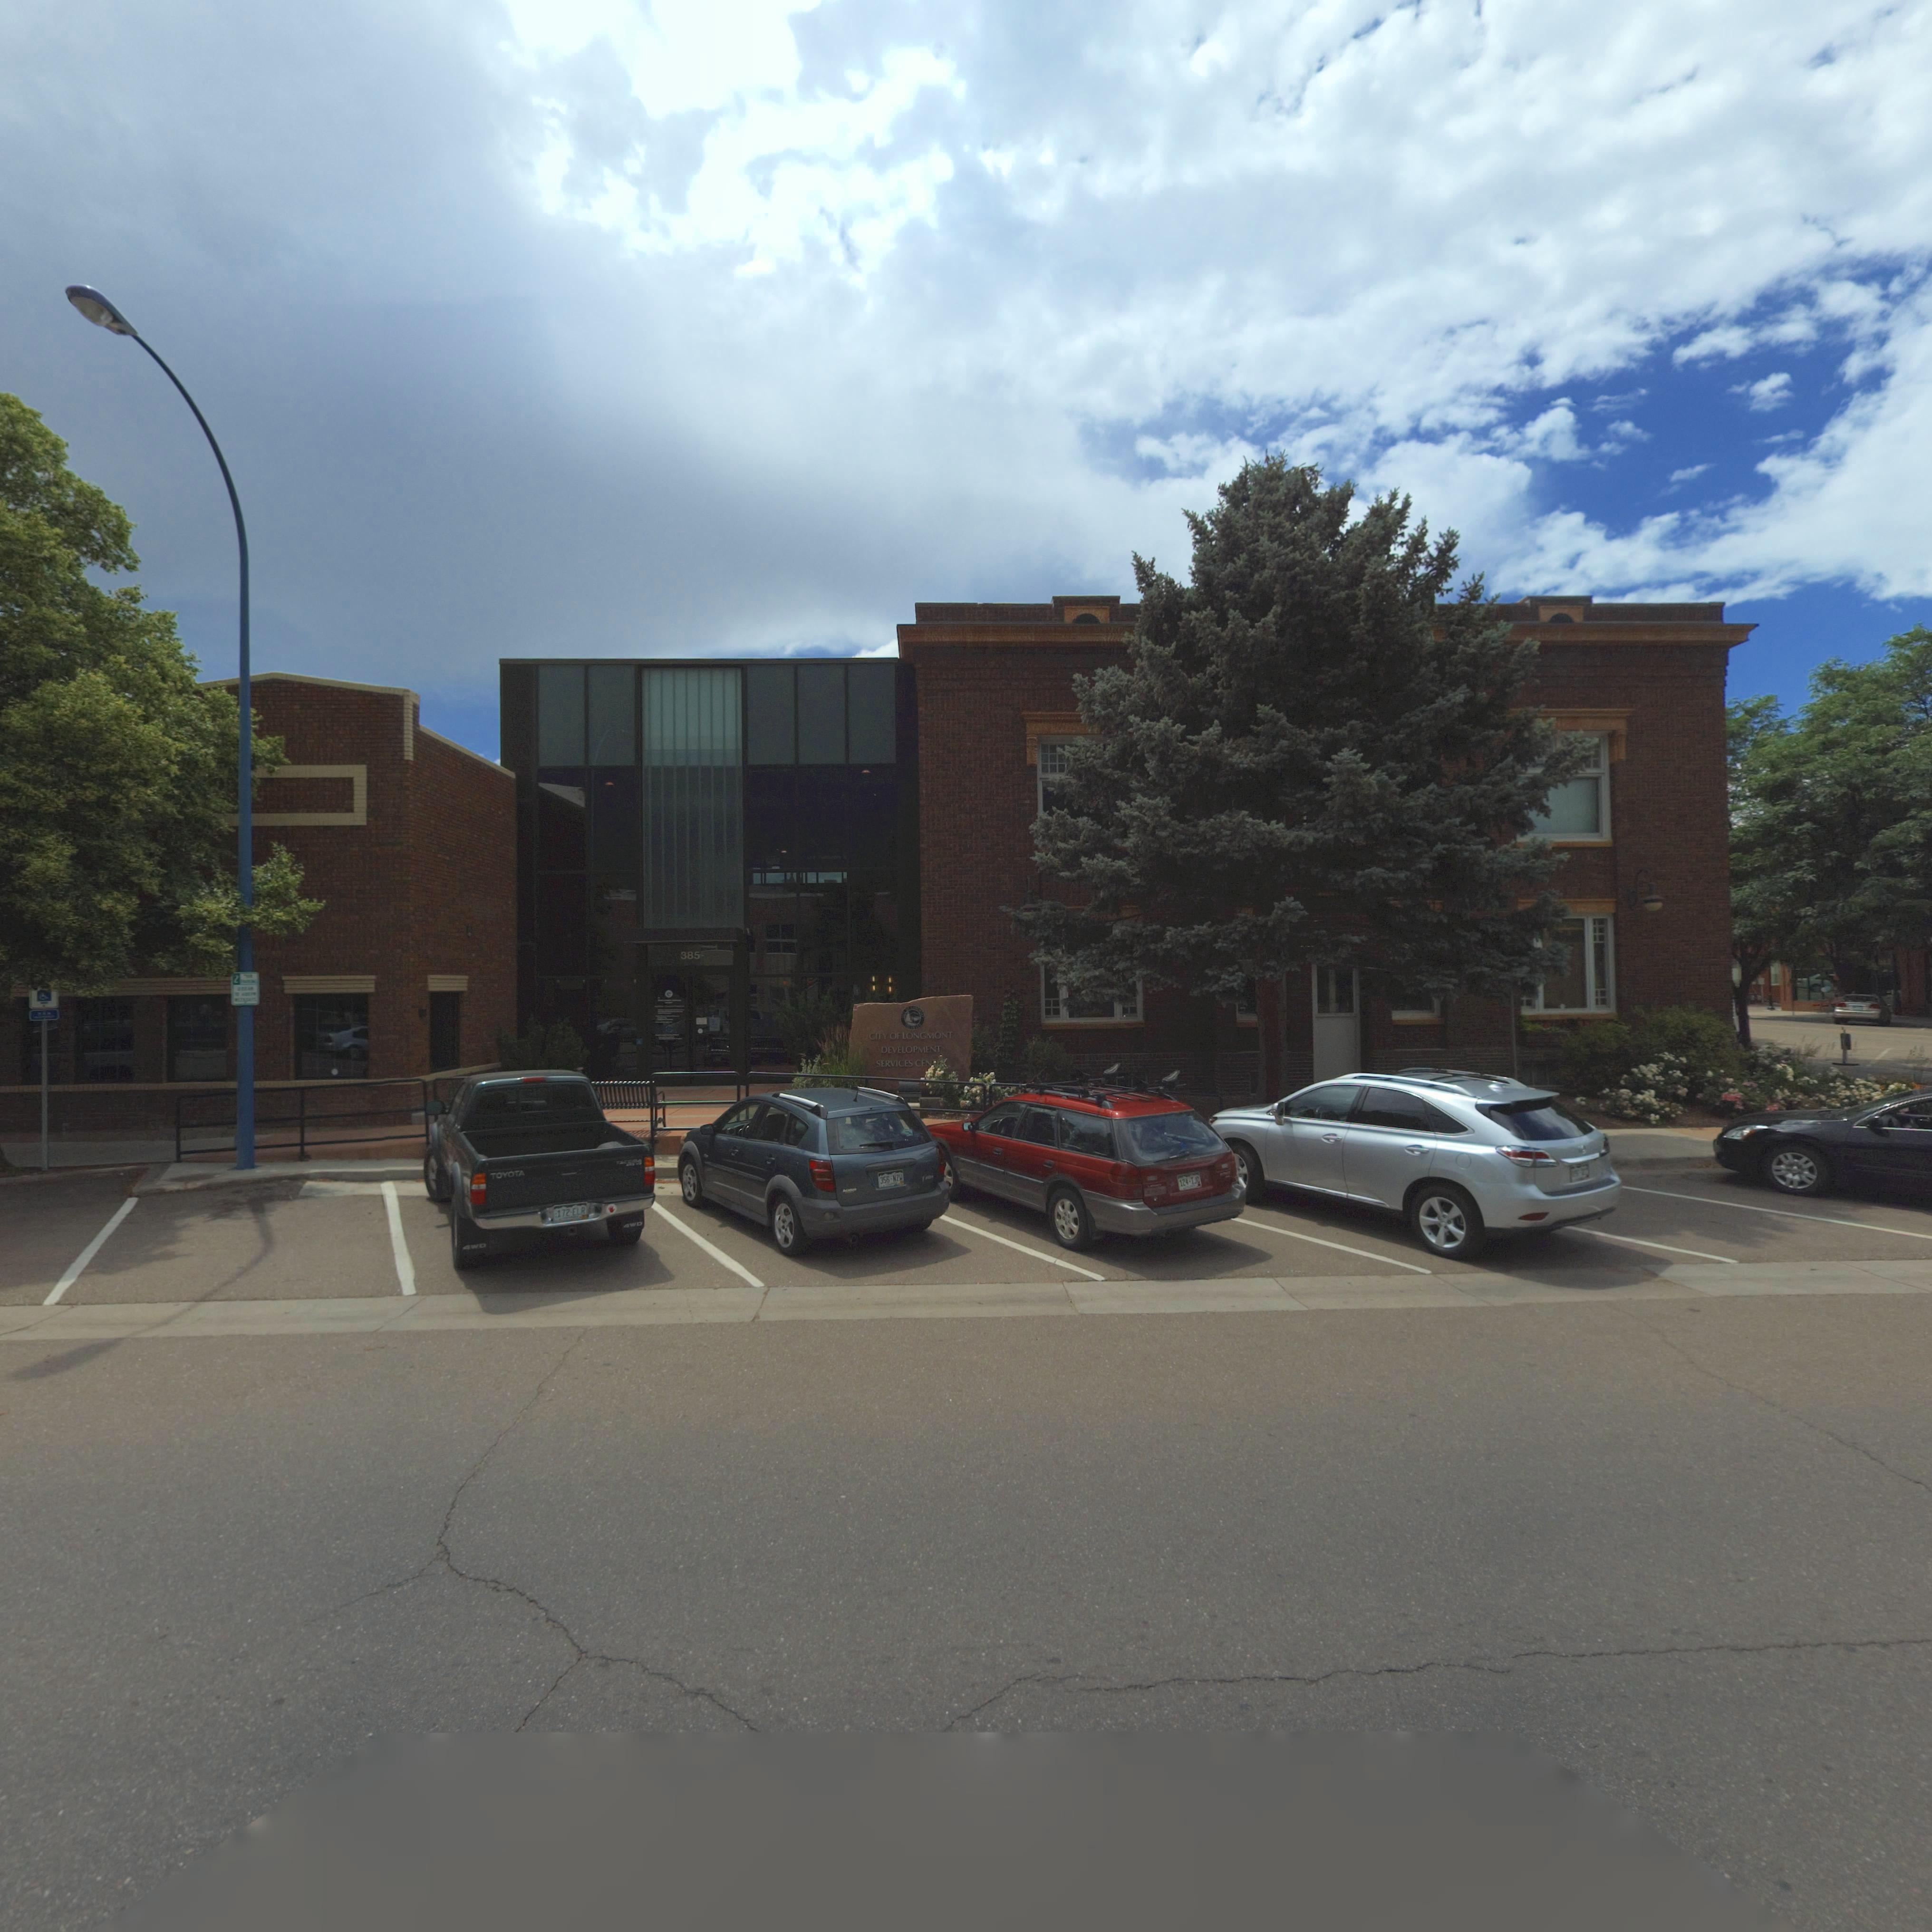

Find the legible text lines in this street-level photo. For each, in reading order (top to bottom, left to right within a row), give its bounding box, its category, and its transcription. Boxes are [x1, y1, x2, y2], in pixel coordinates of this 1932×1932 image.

[681, 951, 700, 959] StreetNumber: 385
[868, 1031, 952, 1040] BusinessName: CITY OF LONGMONT
[881, 1045, 941, 1053] BusinessName: DEVELOPMENT
[876, 1059, 937, 1067] BusinessName: SERVICES CEN*